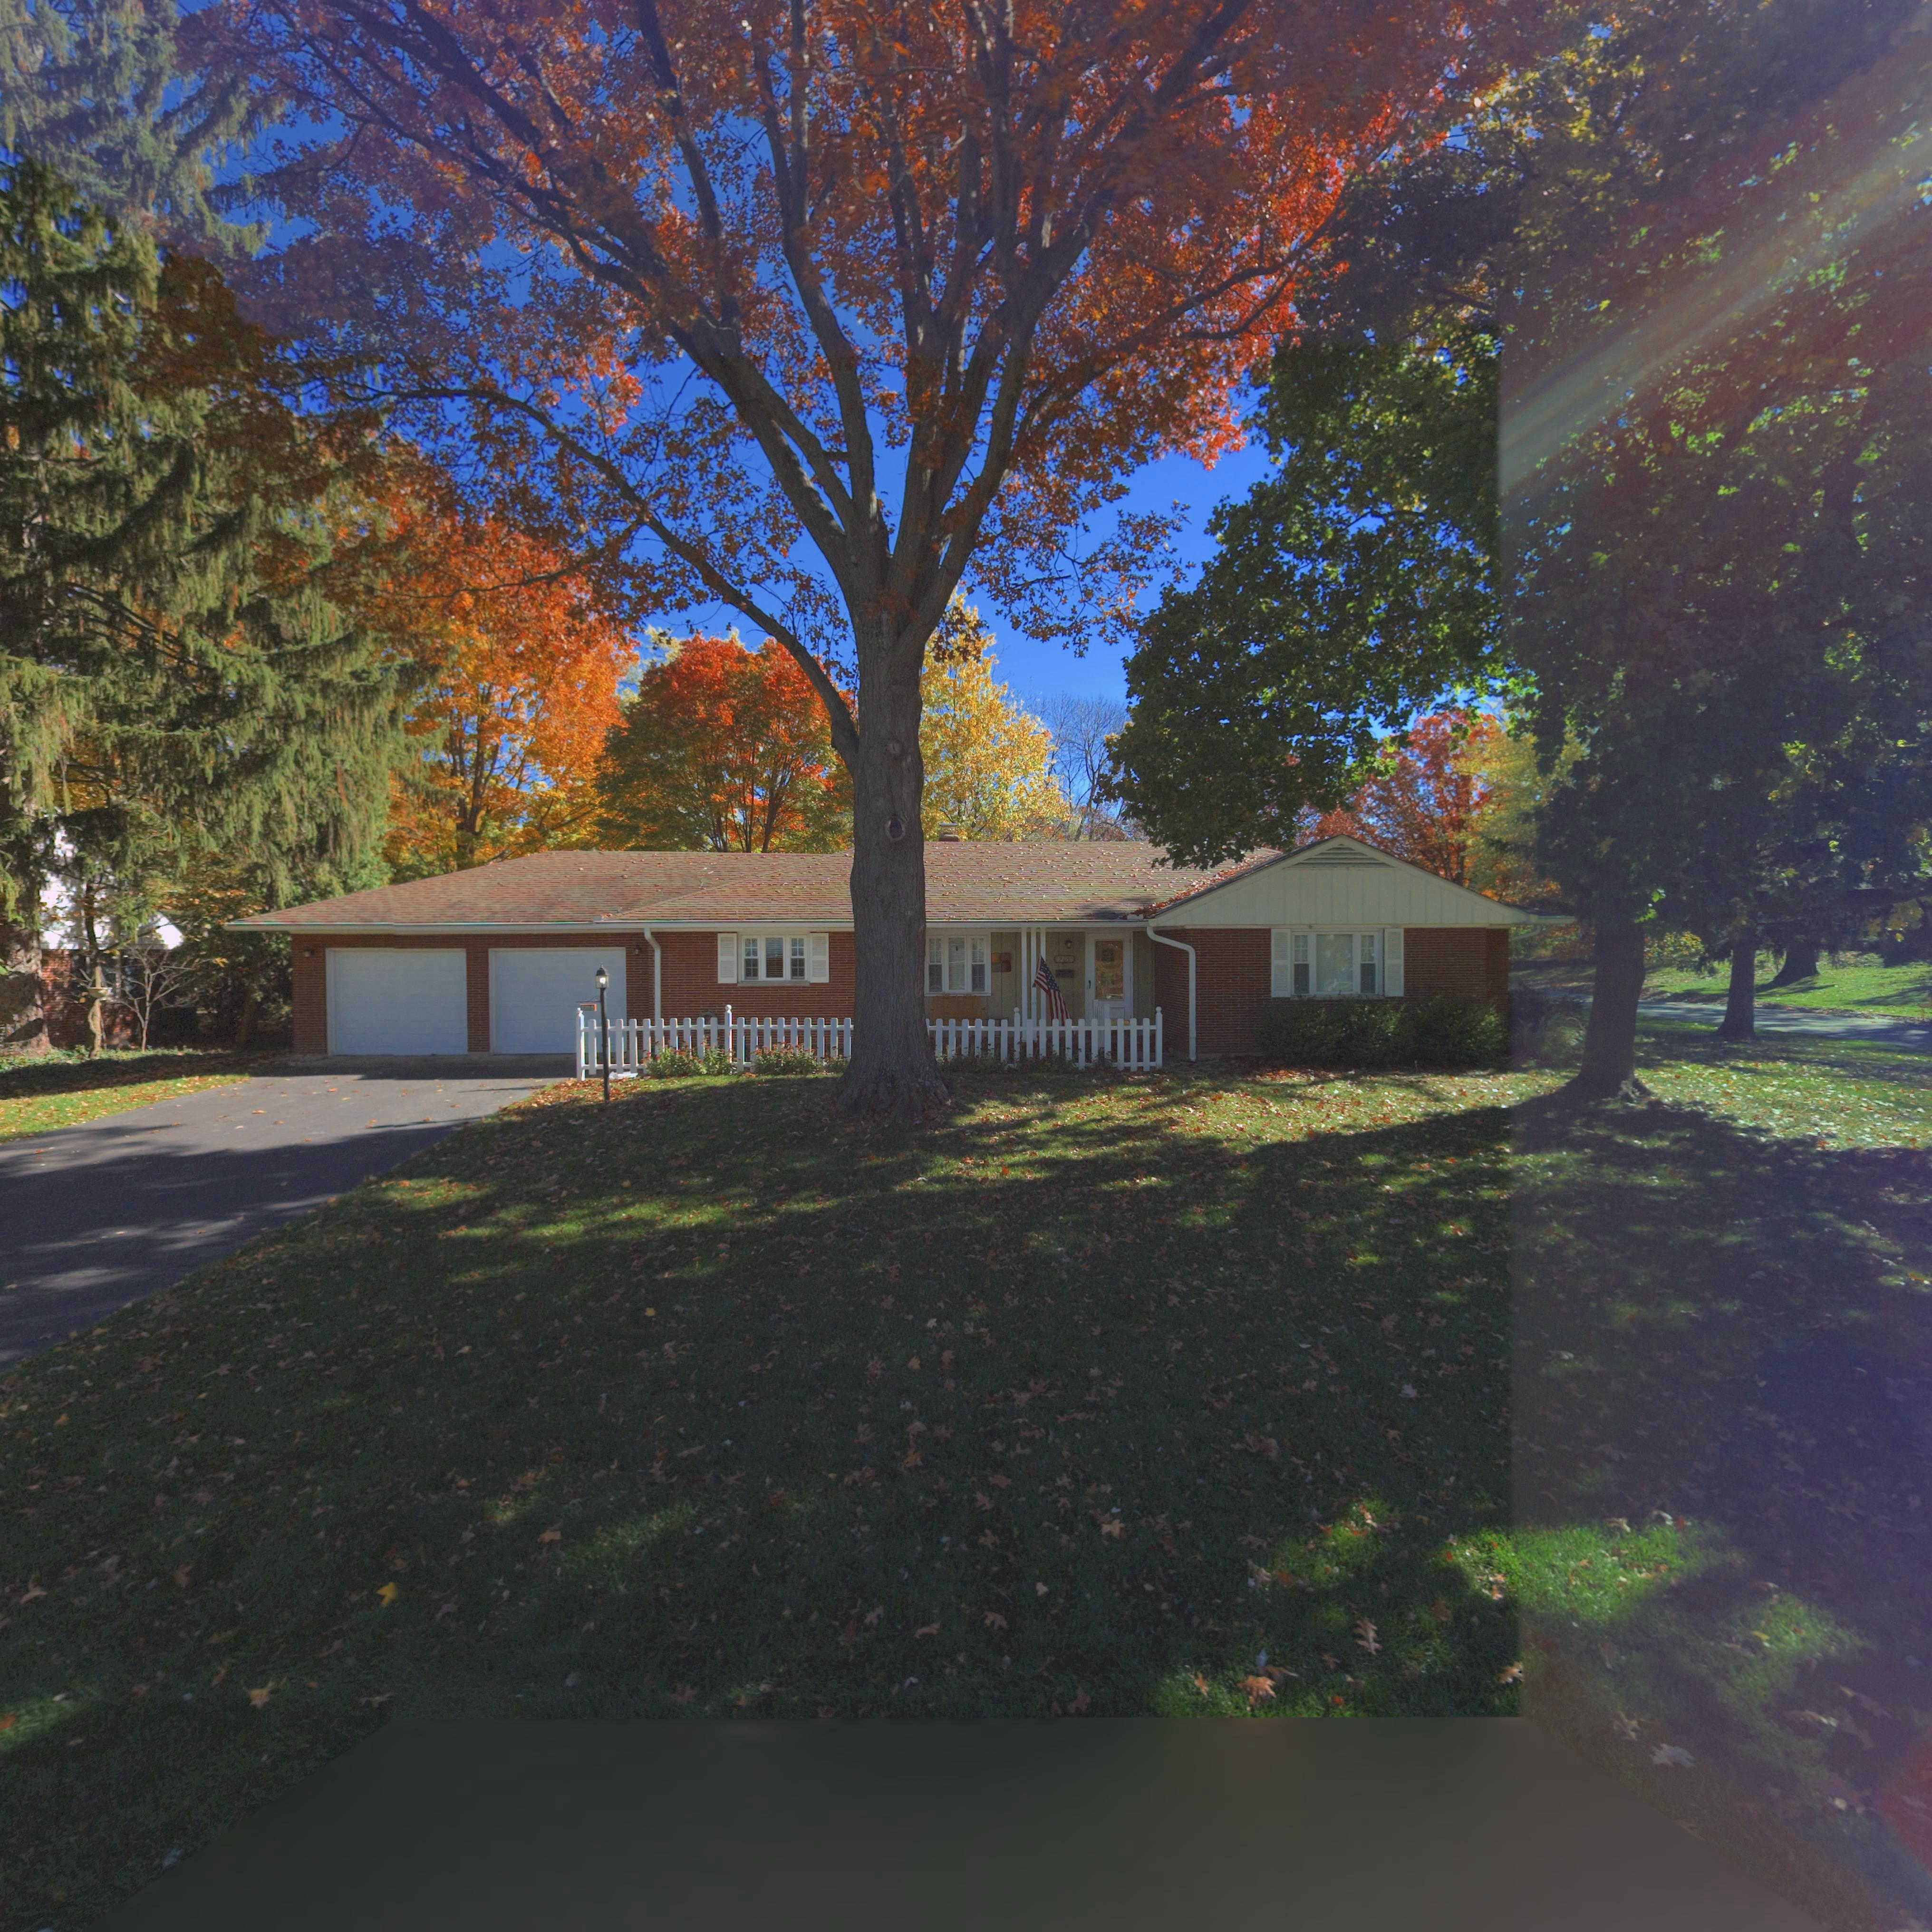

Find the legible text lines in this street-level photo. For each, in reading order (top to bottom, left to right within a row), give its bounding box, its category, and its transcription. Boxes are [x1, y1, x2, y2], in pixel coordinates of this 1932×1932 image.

[1056, 956, 1073, 963] StreetNumber: 4268
[580, 1005, 594, 1011] StreetNumber: ***8